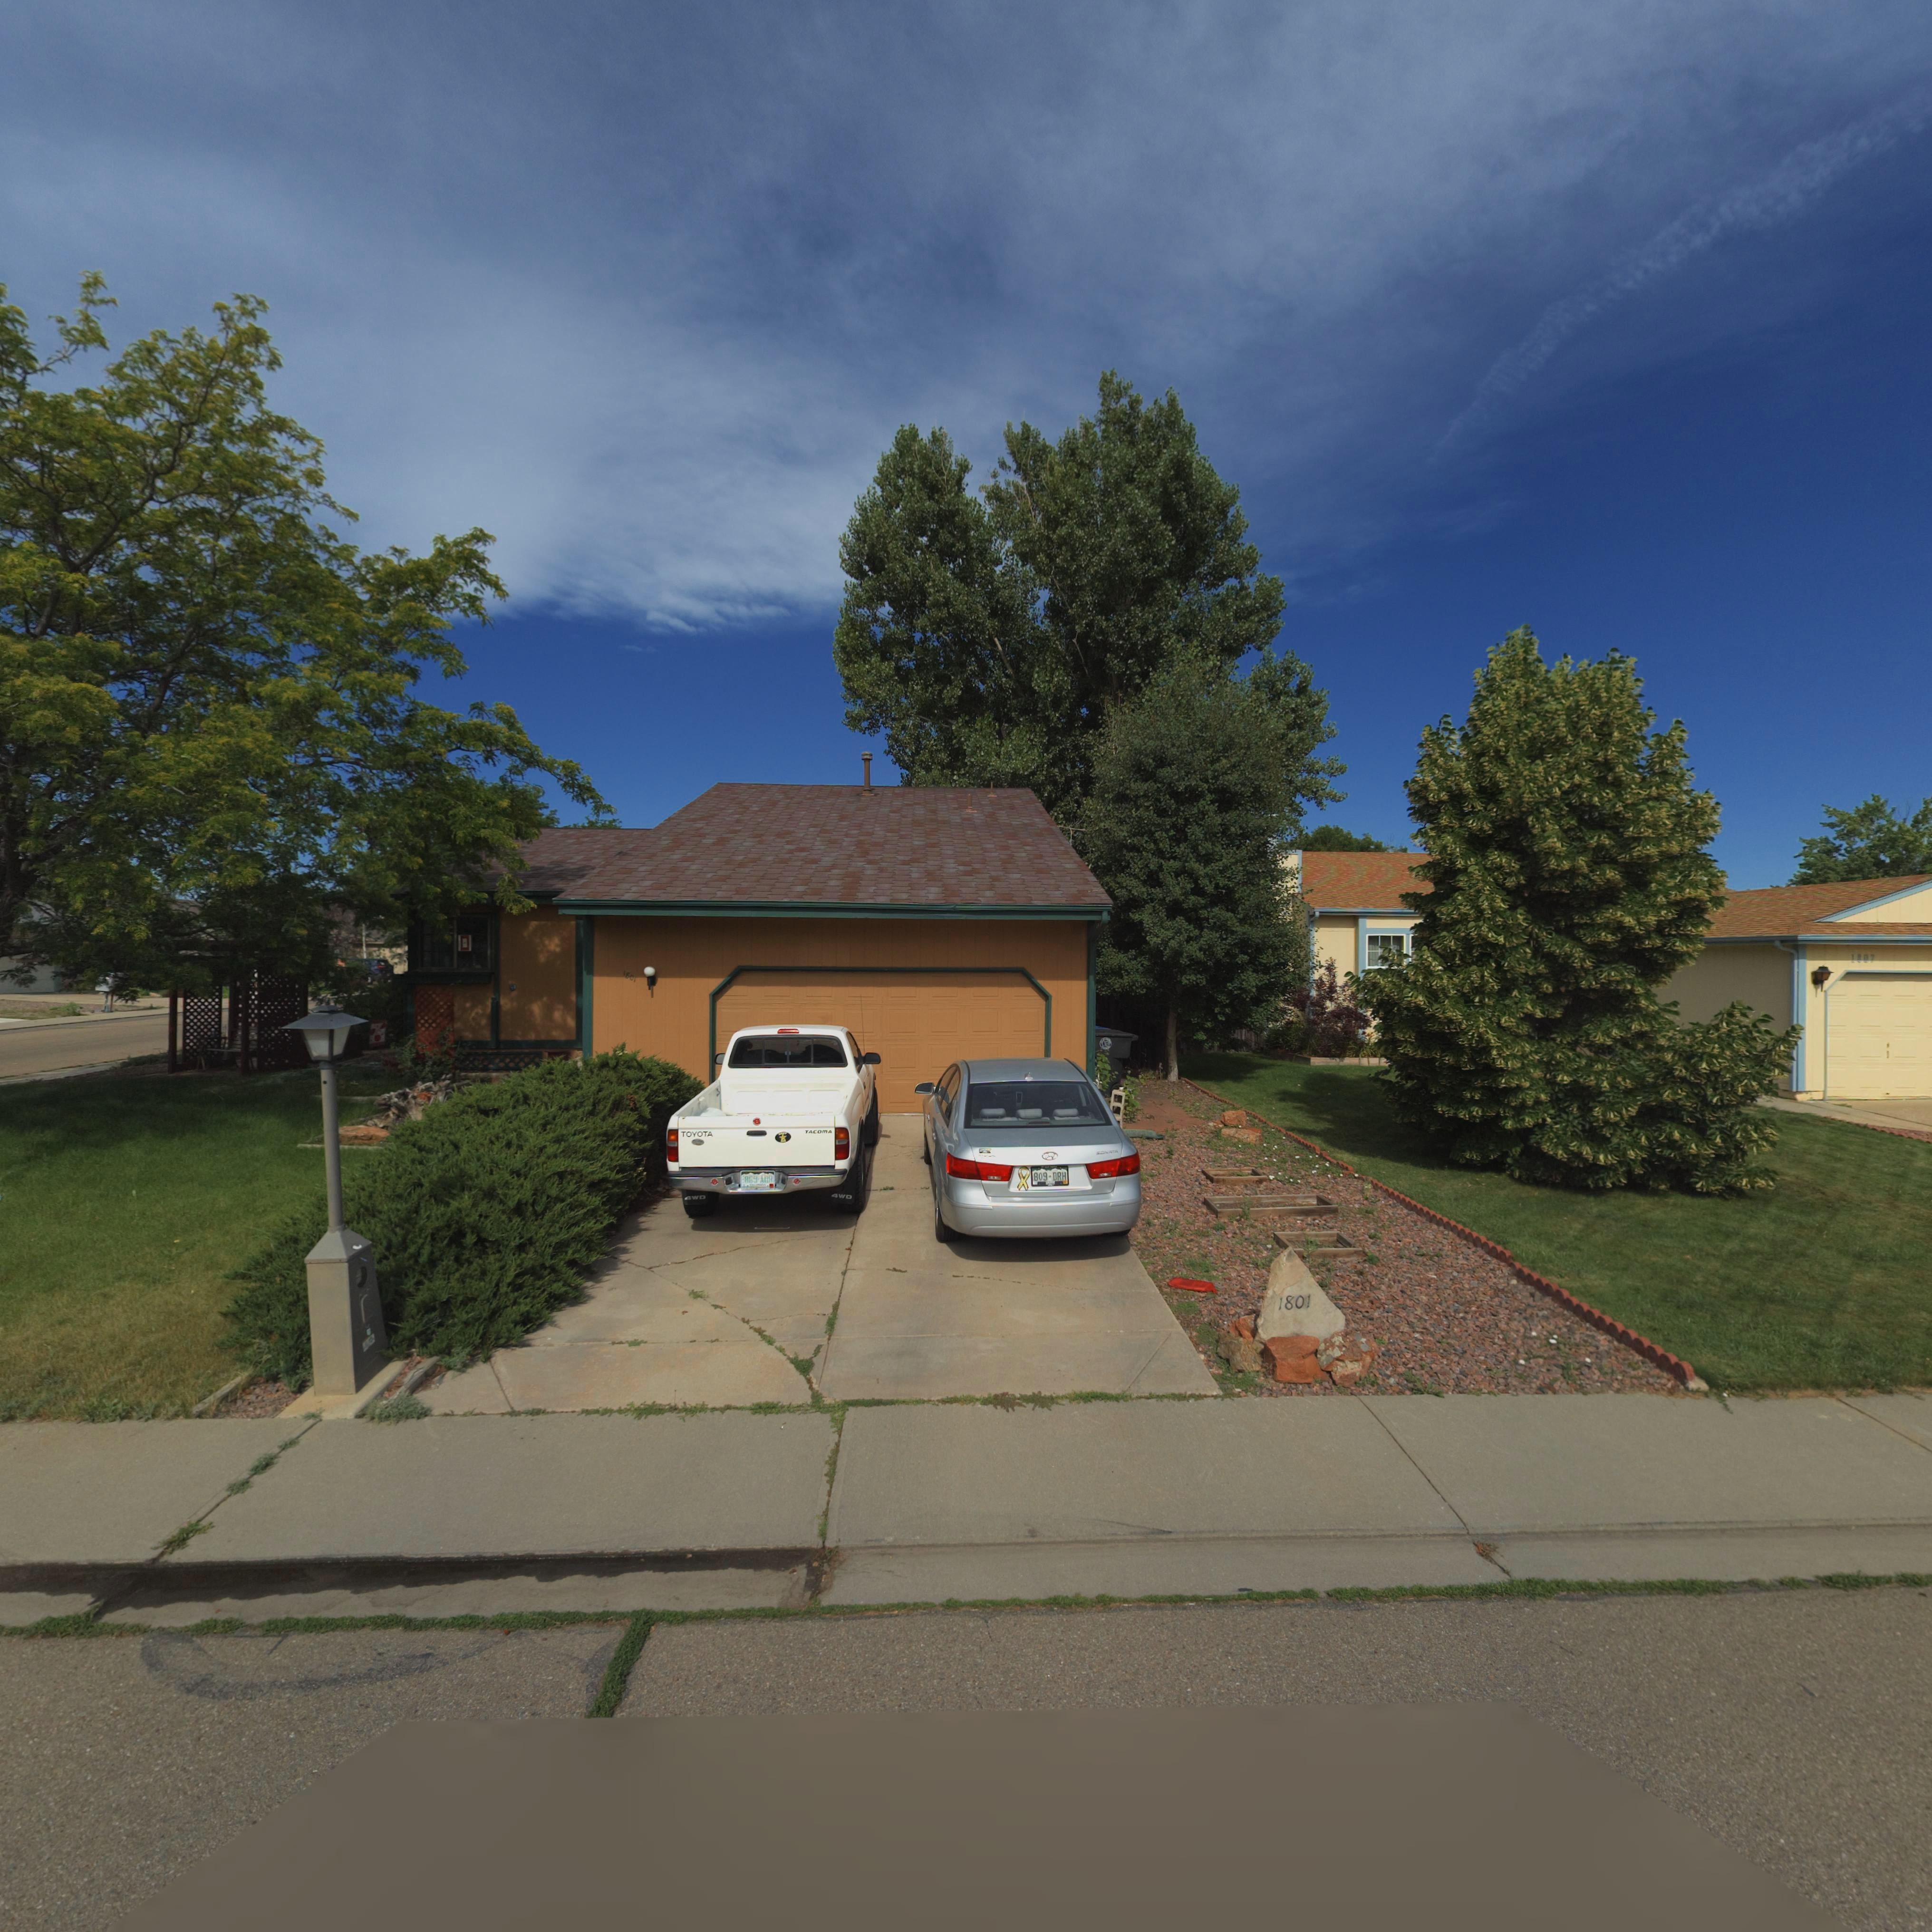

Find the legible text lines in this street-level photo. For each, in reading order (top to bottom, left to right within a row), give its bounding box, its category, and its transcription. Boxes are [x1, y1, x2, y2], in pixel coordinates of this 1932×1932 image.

[1850, 953, 1875, 964] StreetNumber: 1807
[623, 969, 636, 982] StreetNumber: 1801
[1277, 1294, 1311, 1311] StreetNumber: 1801